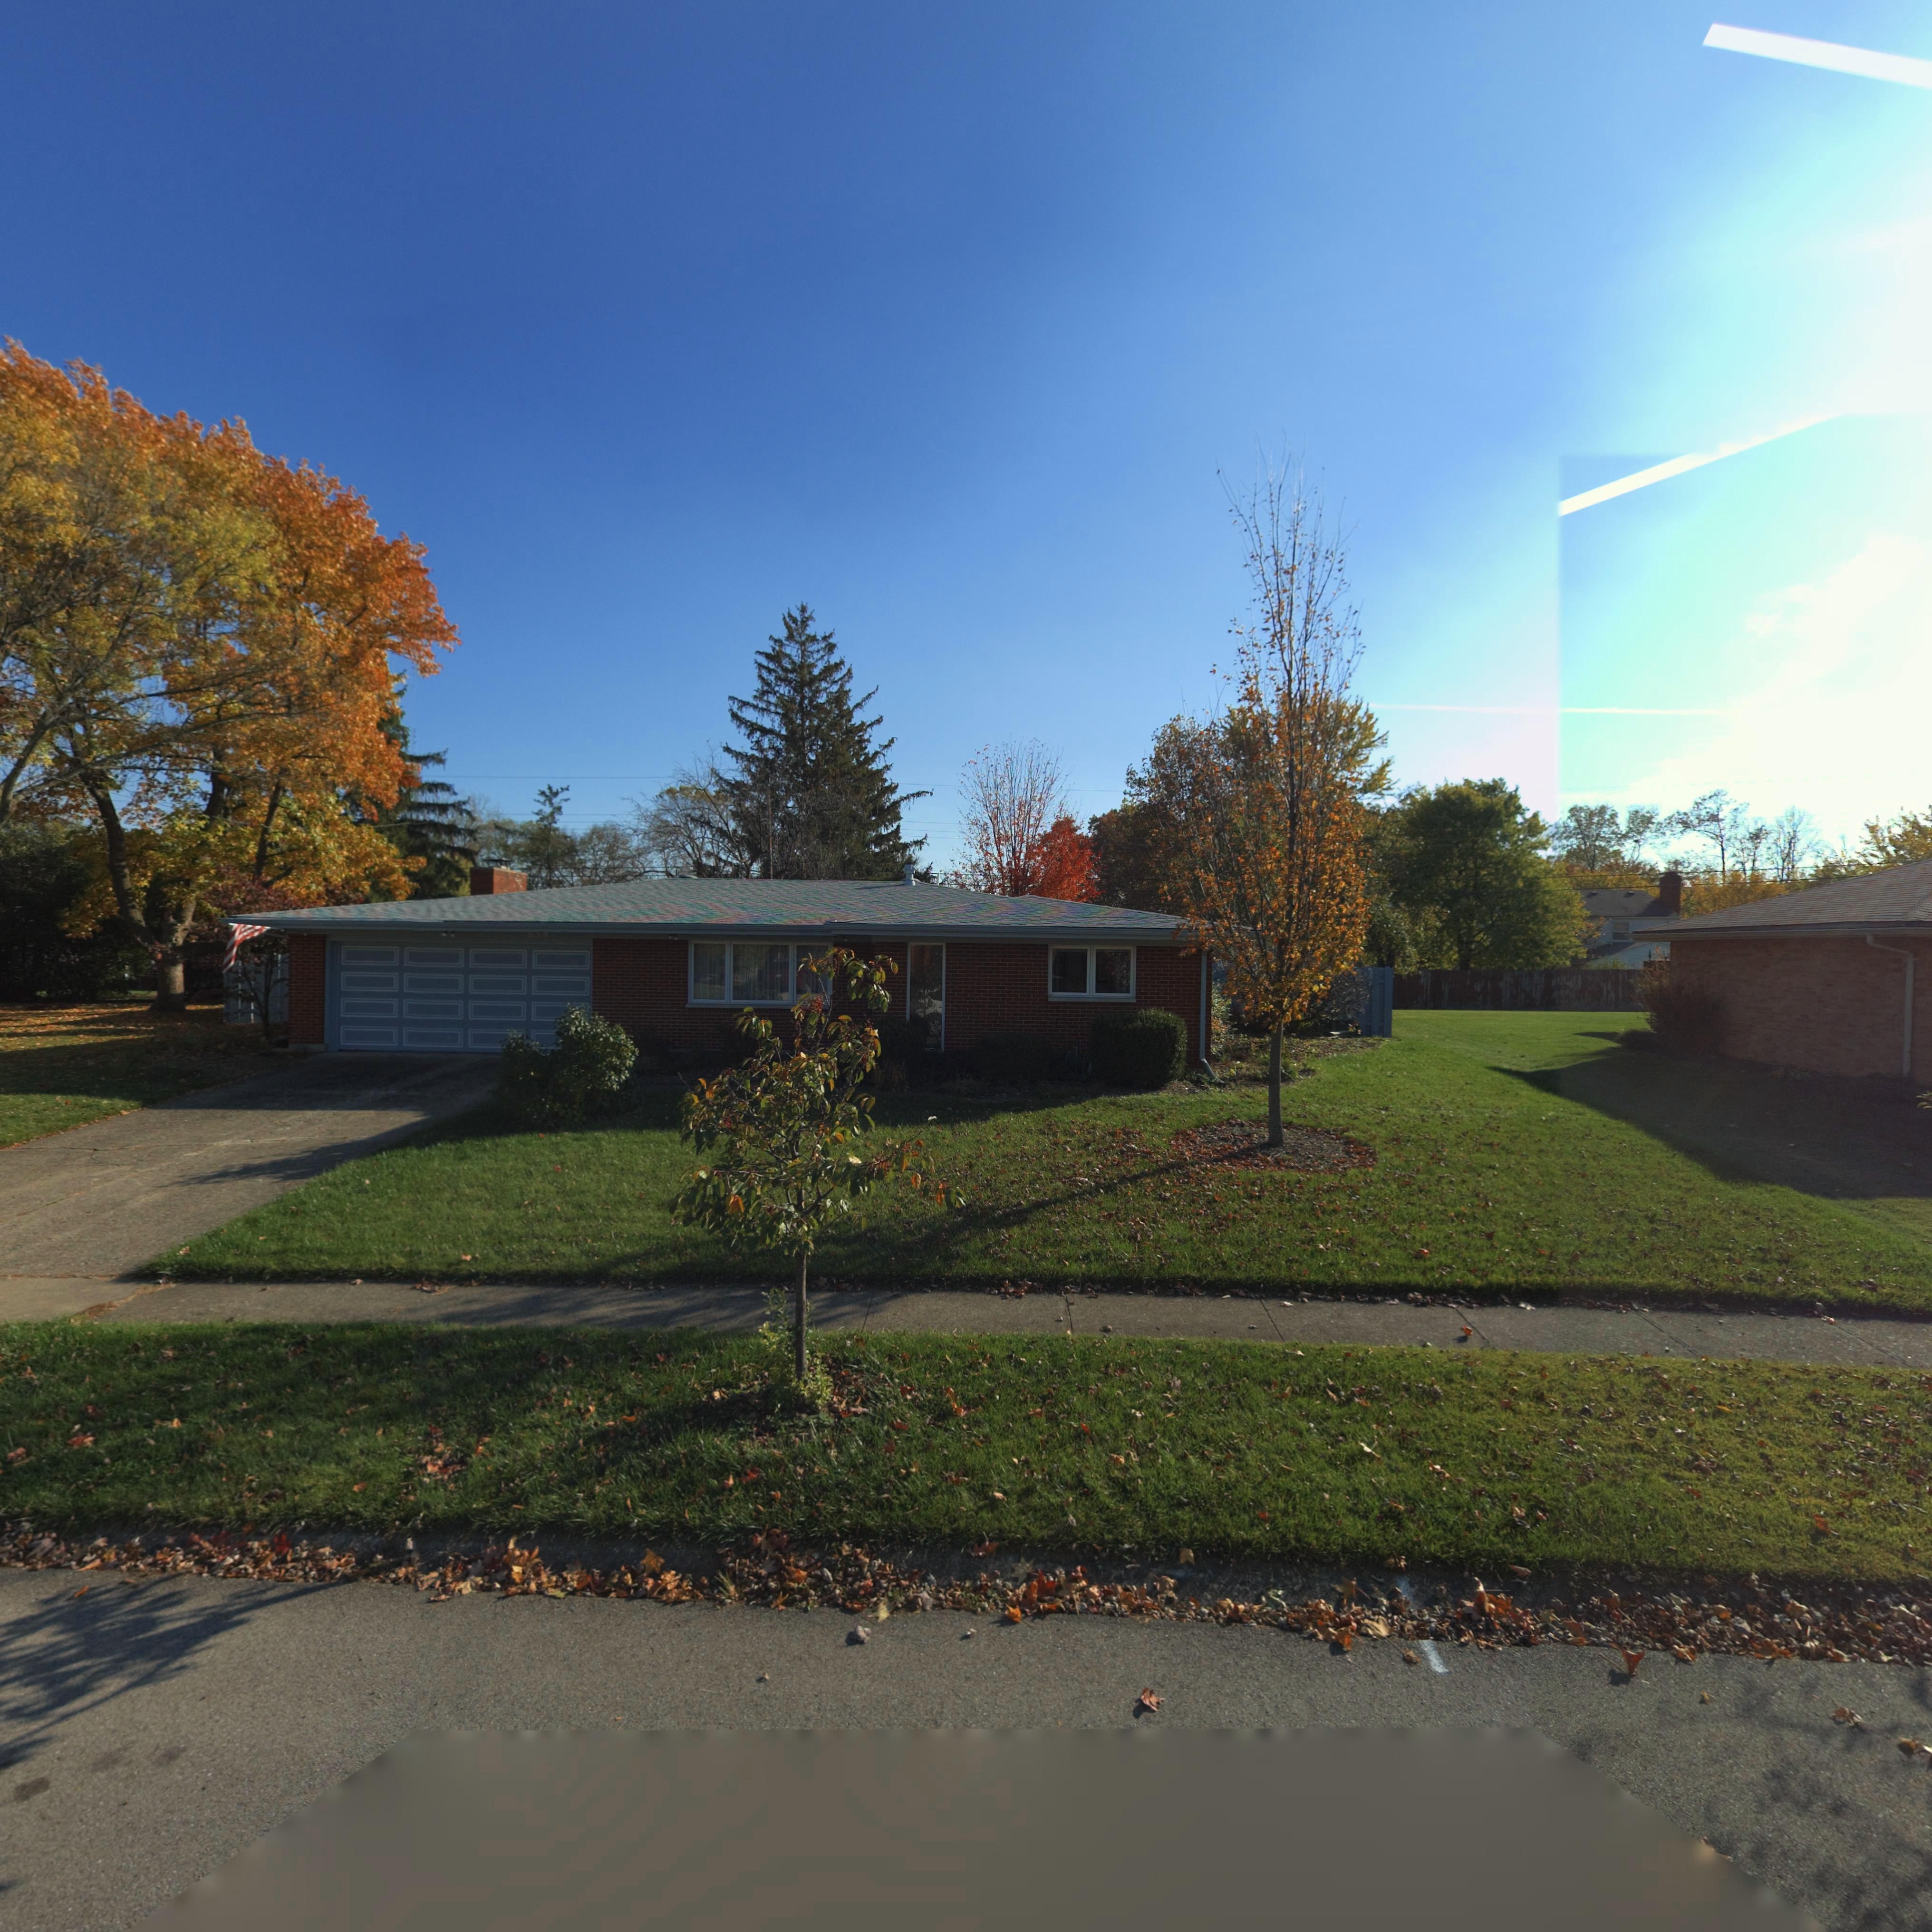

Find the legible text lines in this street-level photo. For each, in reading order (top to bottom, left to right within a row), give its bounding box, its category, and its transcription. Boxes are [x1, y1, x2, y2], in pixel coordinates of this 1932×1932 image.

[527, 931, 548, 938] StreetNumber: 658